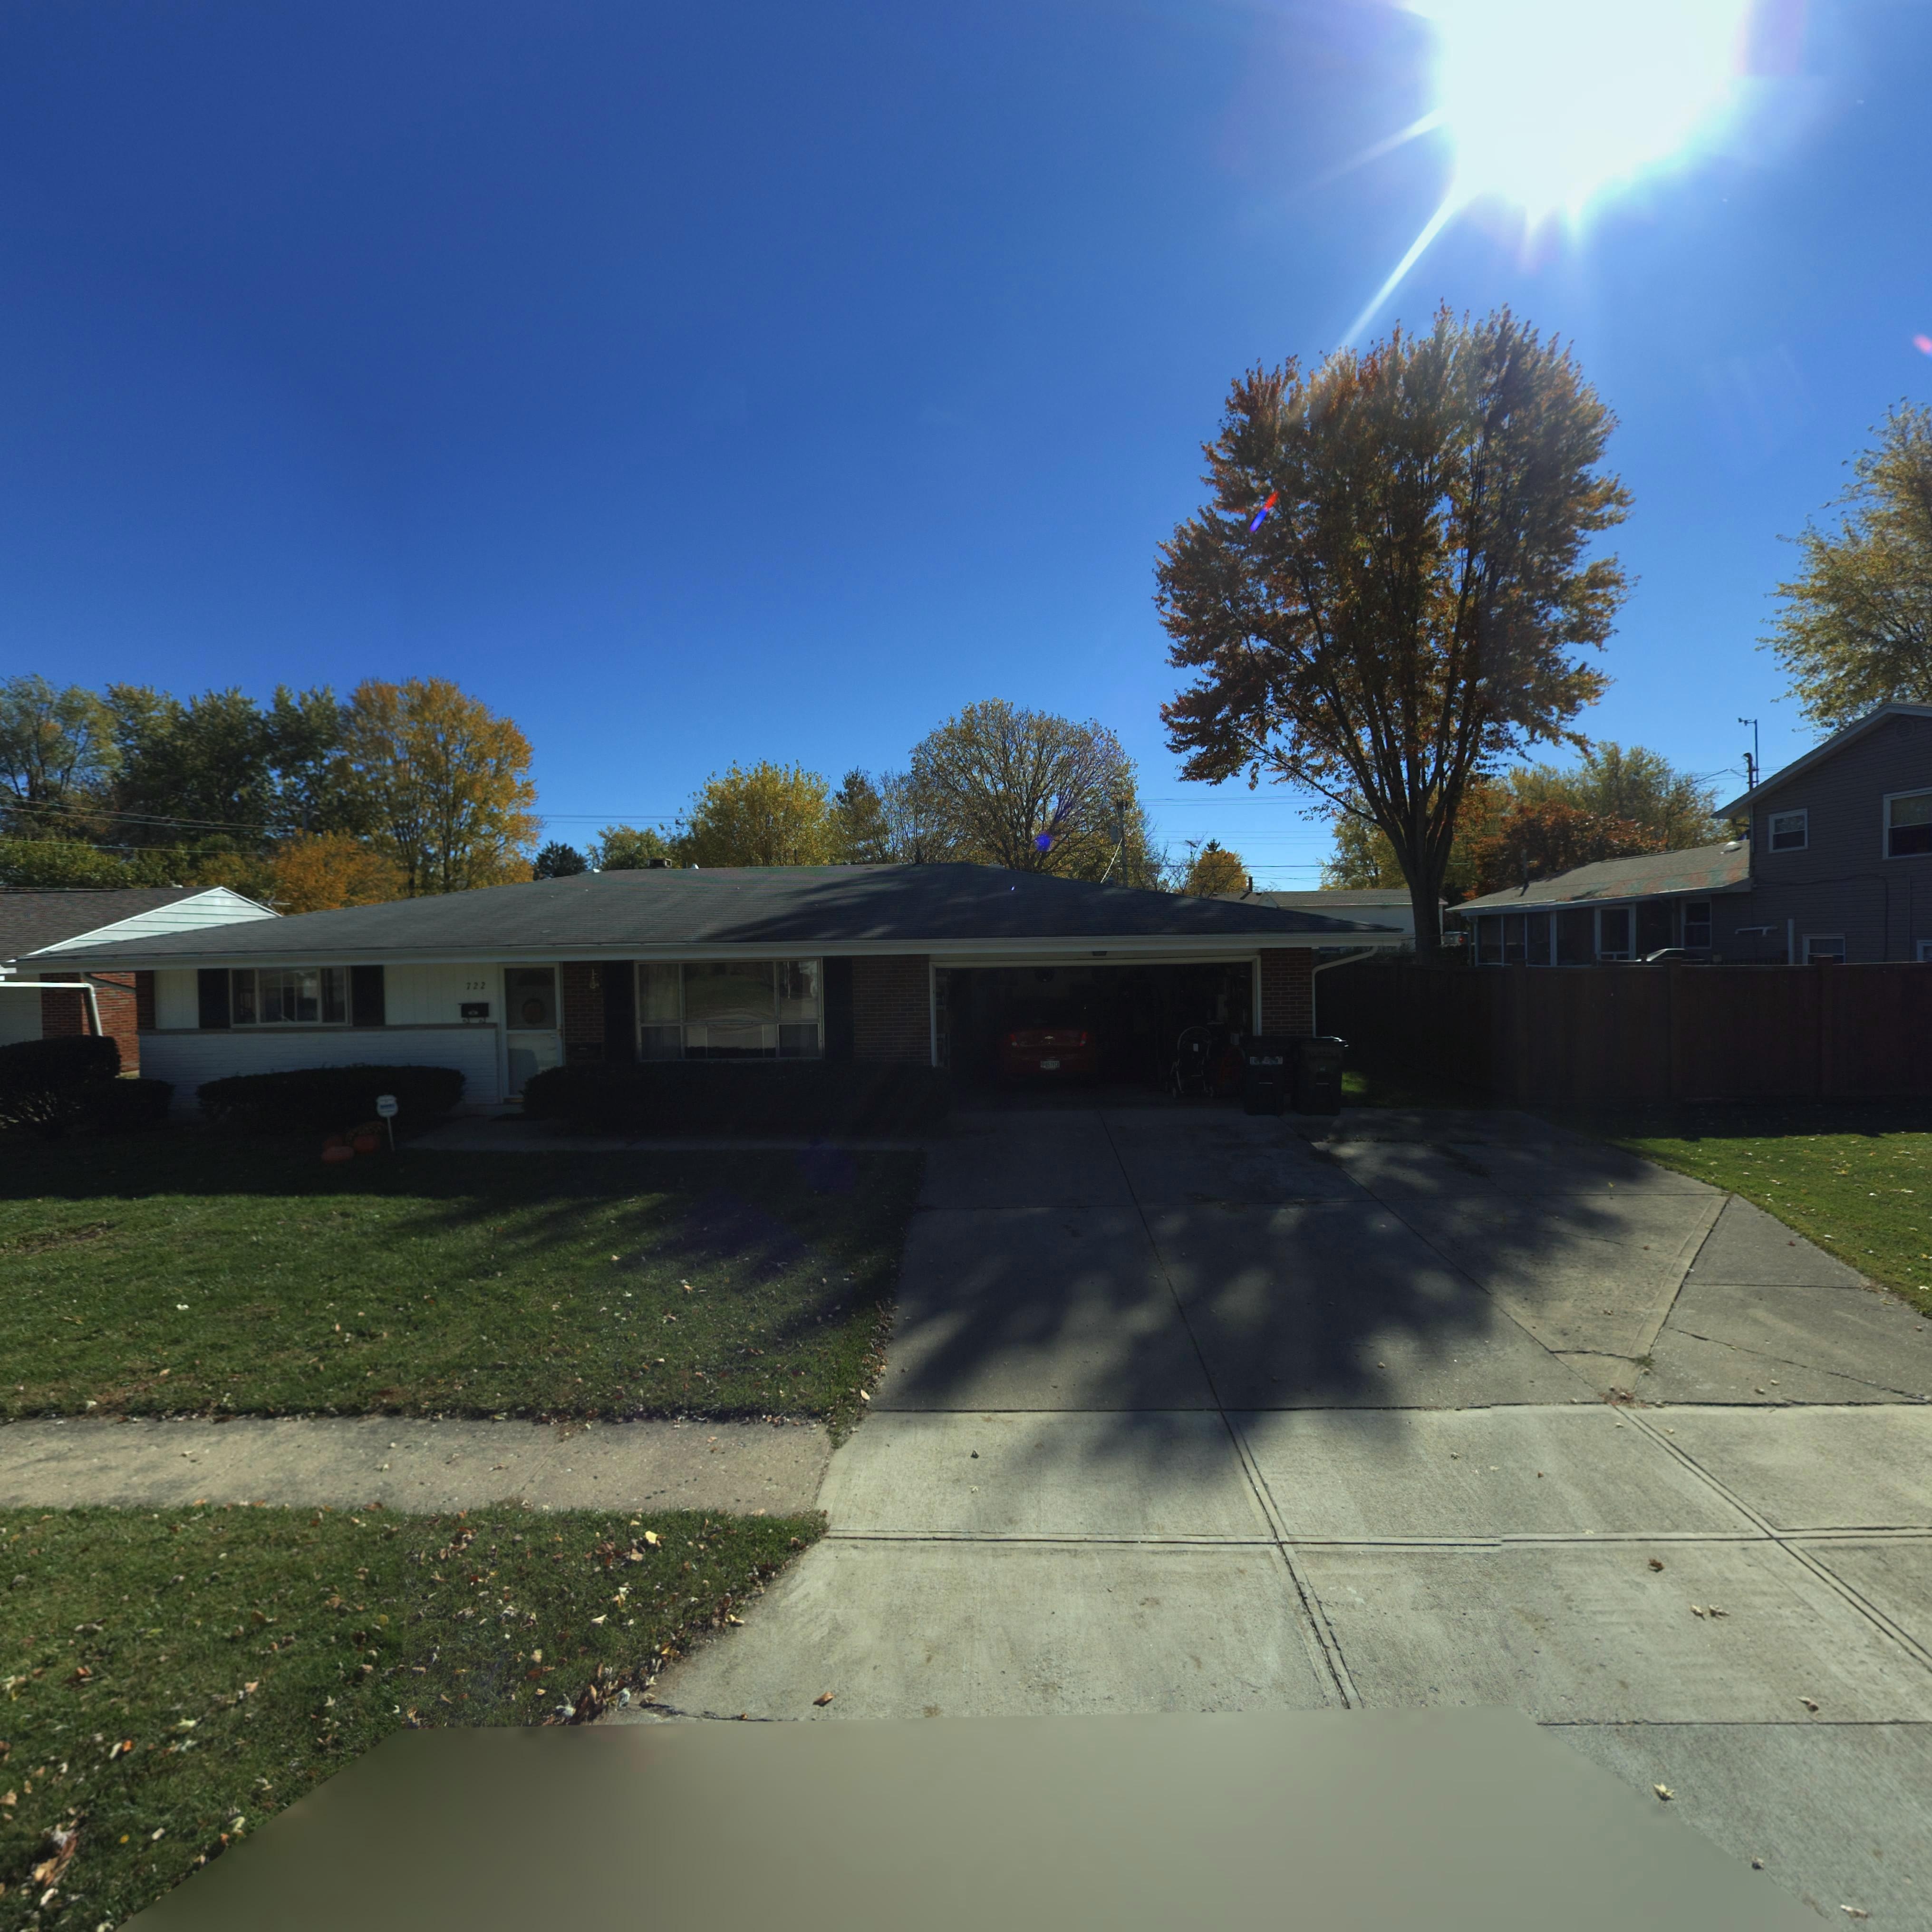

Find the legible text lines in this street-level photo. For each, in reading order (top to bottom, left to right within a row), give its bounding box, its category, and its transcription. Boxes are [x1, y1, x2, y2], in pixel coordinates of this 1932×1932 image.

[466, 981, 486, 990] StreetNumber: 722